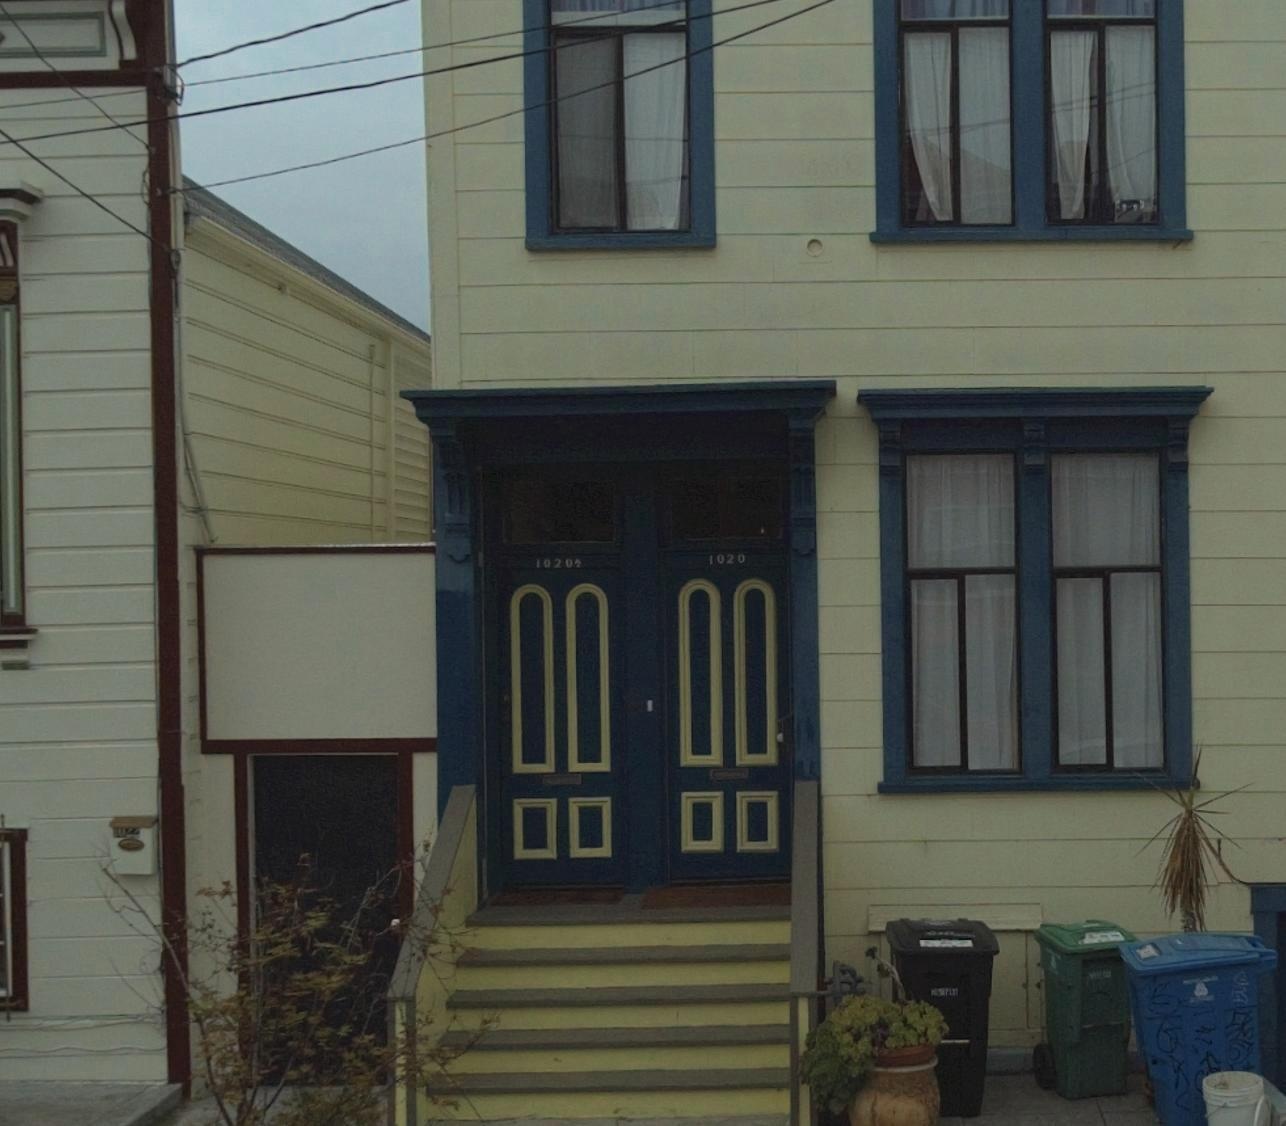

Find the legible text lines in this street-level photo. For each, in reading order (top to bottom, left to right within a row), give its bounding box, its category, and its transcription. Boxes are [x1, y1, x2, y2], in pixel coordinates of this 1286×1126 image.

[534, 557, 583, 570] StreetNumber: 1020 1/2
[707, 552, 747, 566] StreetNumber: 1020